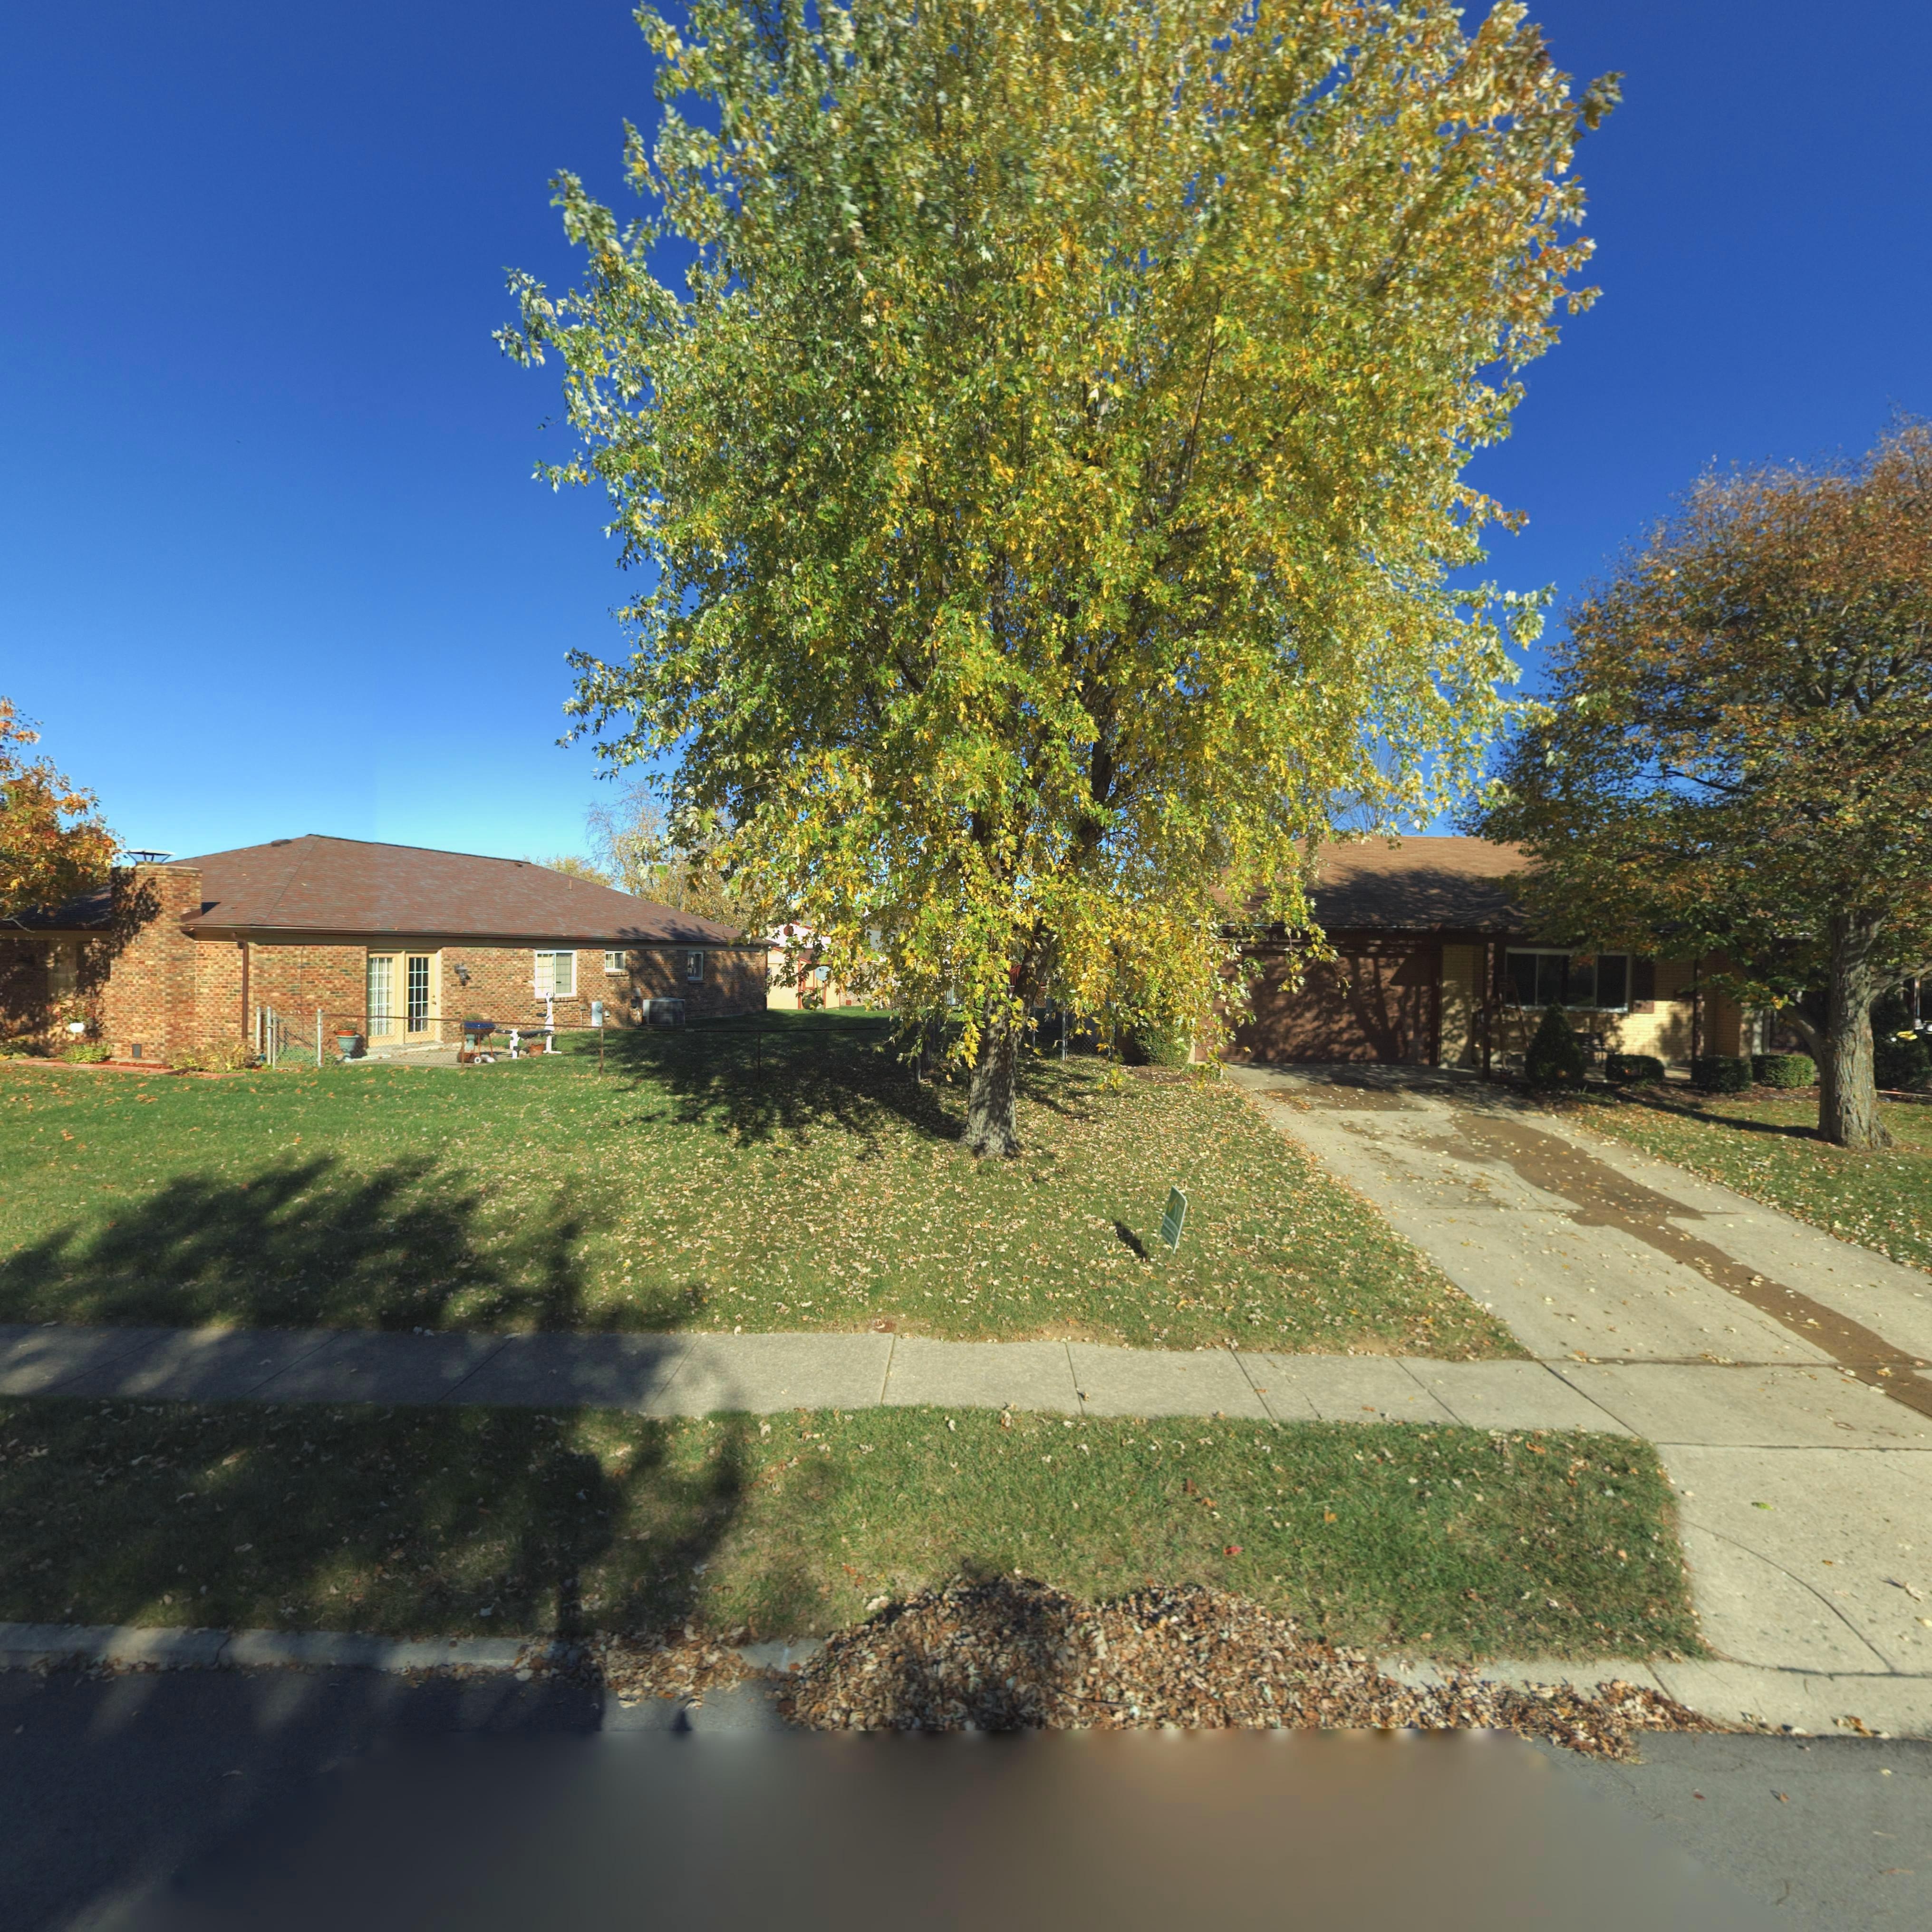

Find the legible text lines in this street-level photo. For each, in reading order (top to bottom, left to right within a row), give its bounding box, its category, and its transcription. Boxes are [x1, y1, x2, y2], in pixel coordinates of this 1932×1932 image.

[1272, 933, 1278, 942] StreetNumber: 8